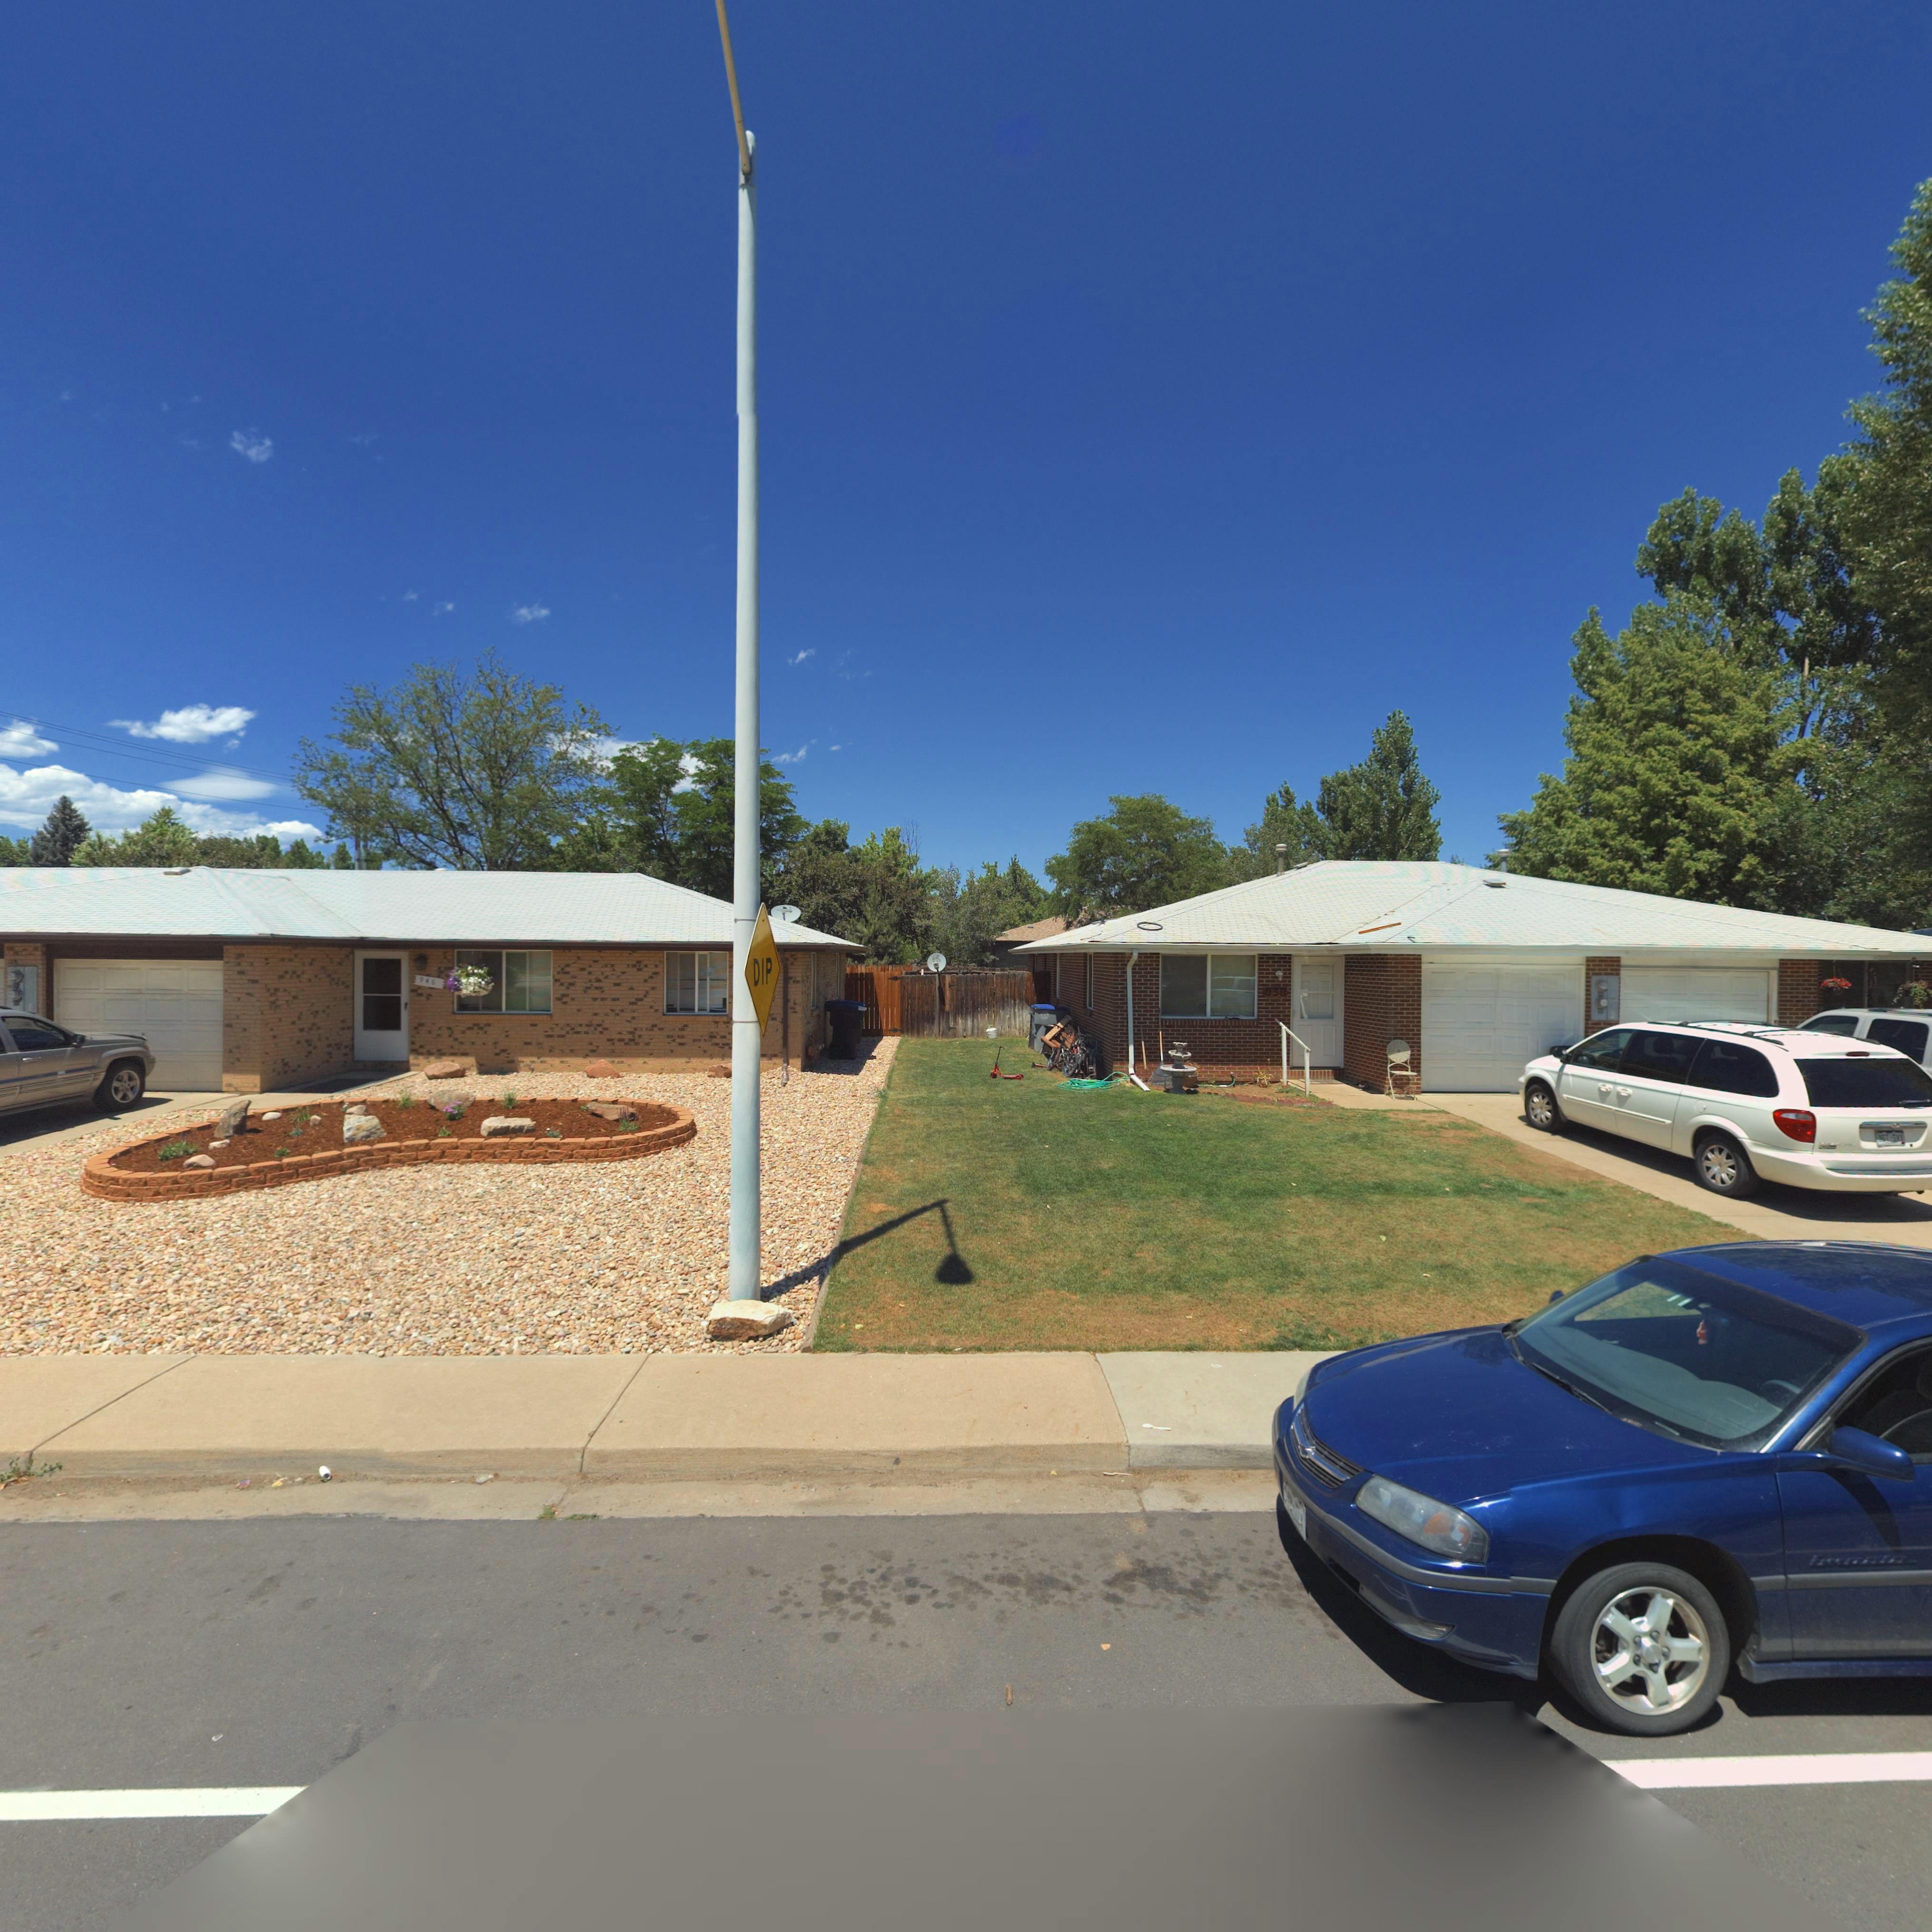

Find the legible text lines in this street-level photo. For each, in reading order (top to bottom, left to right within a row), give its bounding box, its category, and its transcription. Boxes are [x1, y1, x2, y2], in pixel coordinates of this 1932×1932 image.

[420, 976, 435, 985] StreetNumber: 946
[1265, 987, 1286, 996] StreetNumber: 938